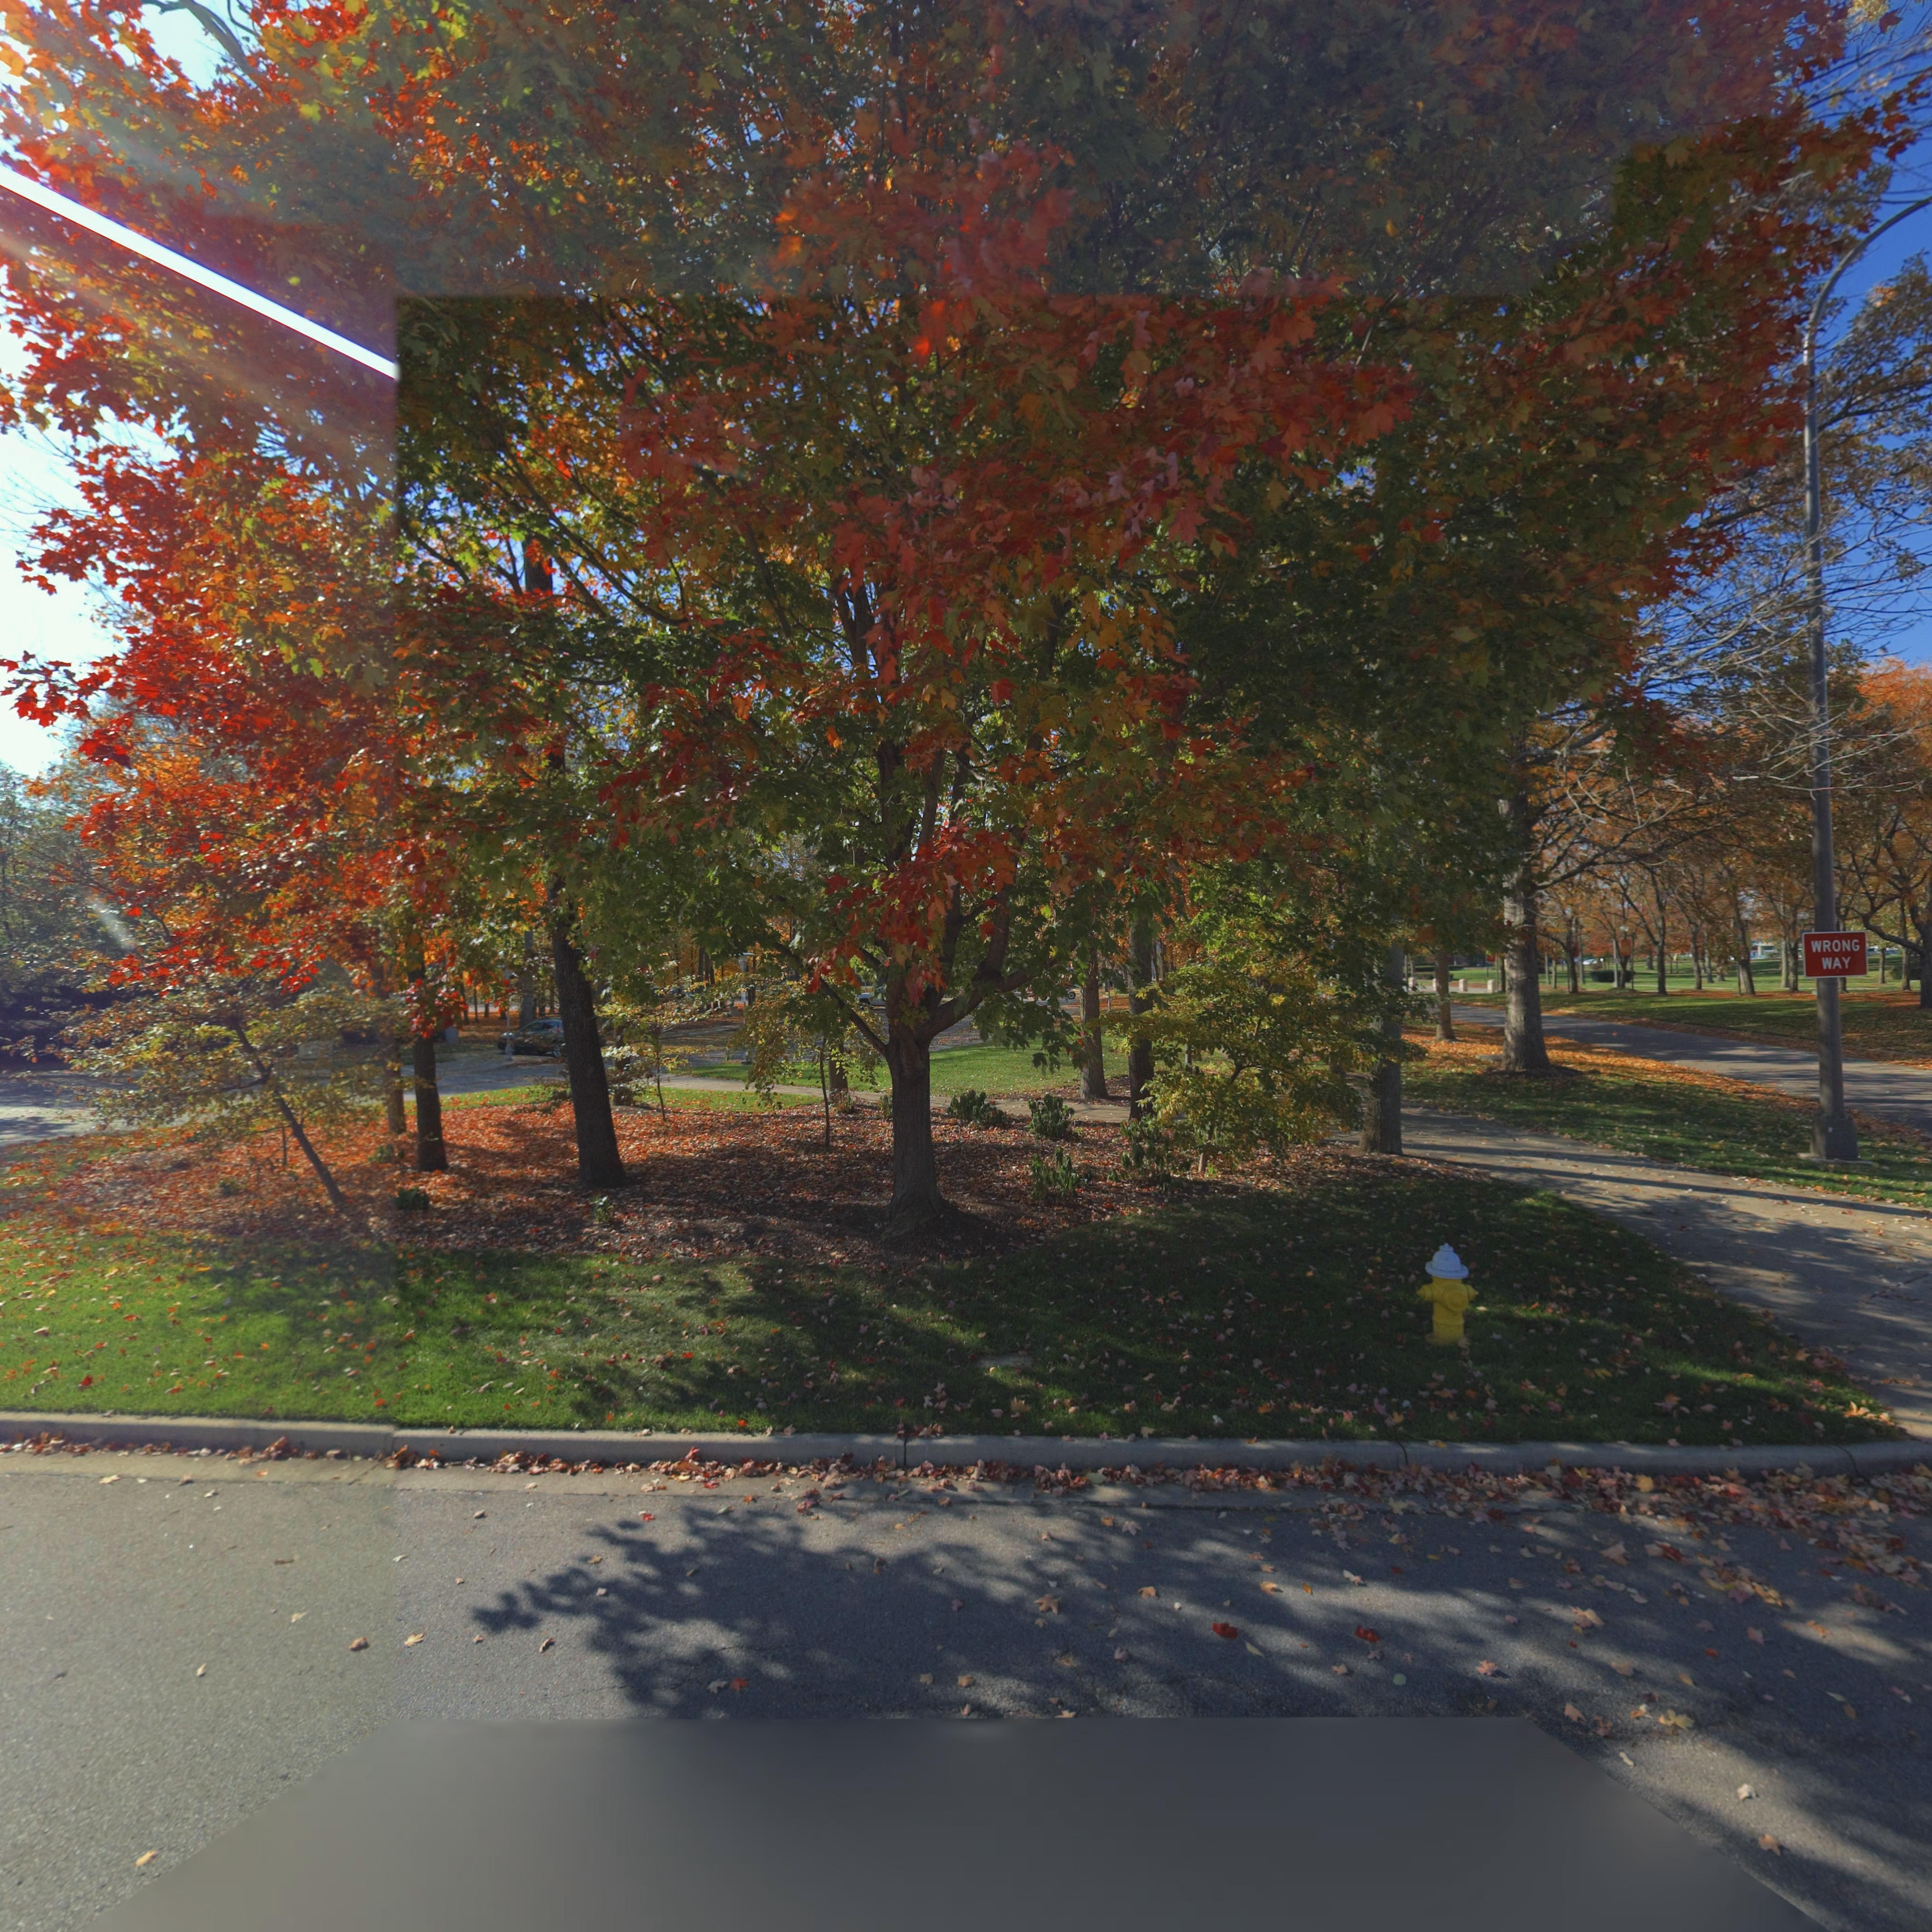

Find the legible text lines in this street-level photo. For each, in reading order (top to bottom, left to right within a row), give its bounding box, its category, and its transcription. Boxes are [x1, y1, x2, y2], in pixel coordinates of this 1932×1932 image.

[1810, 938, 1861, 953] None: WRONG
[1821, 956, 1852, 970] None: WAY